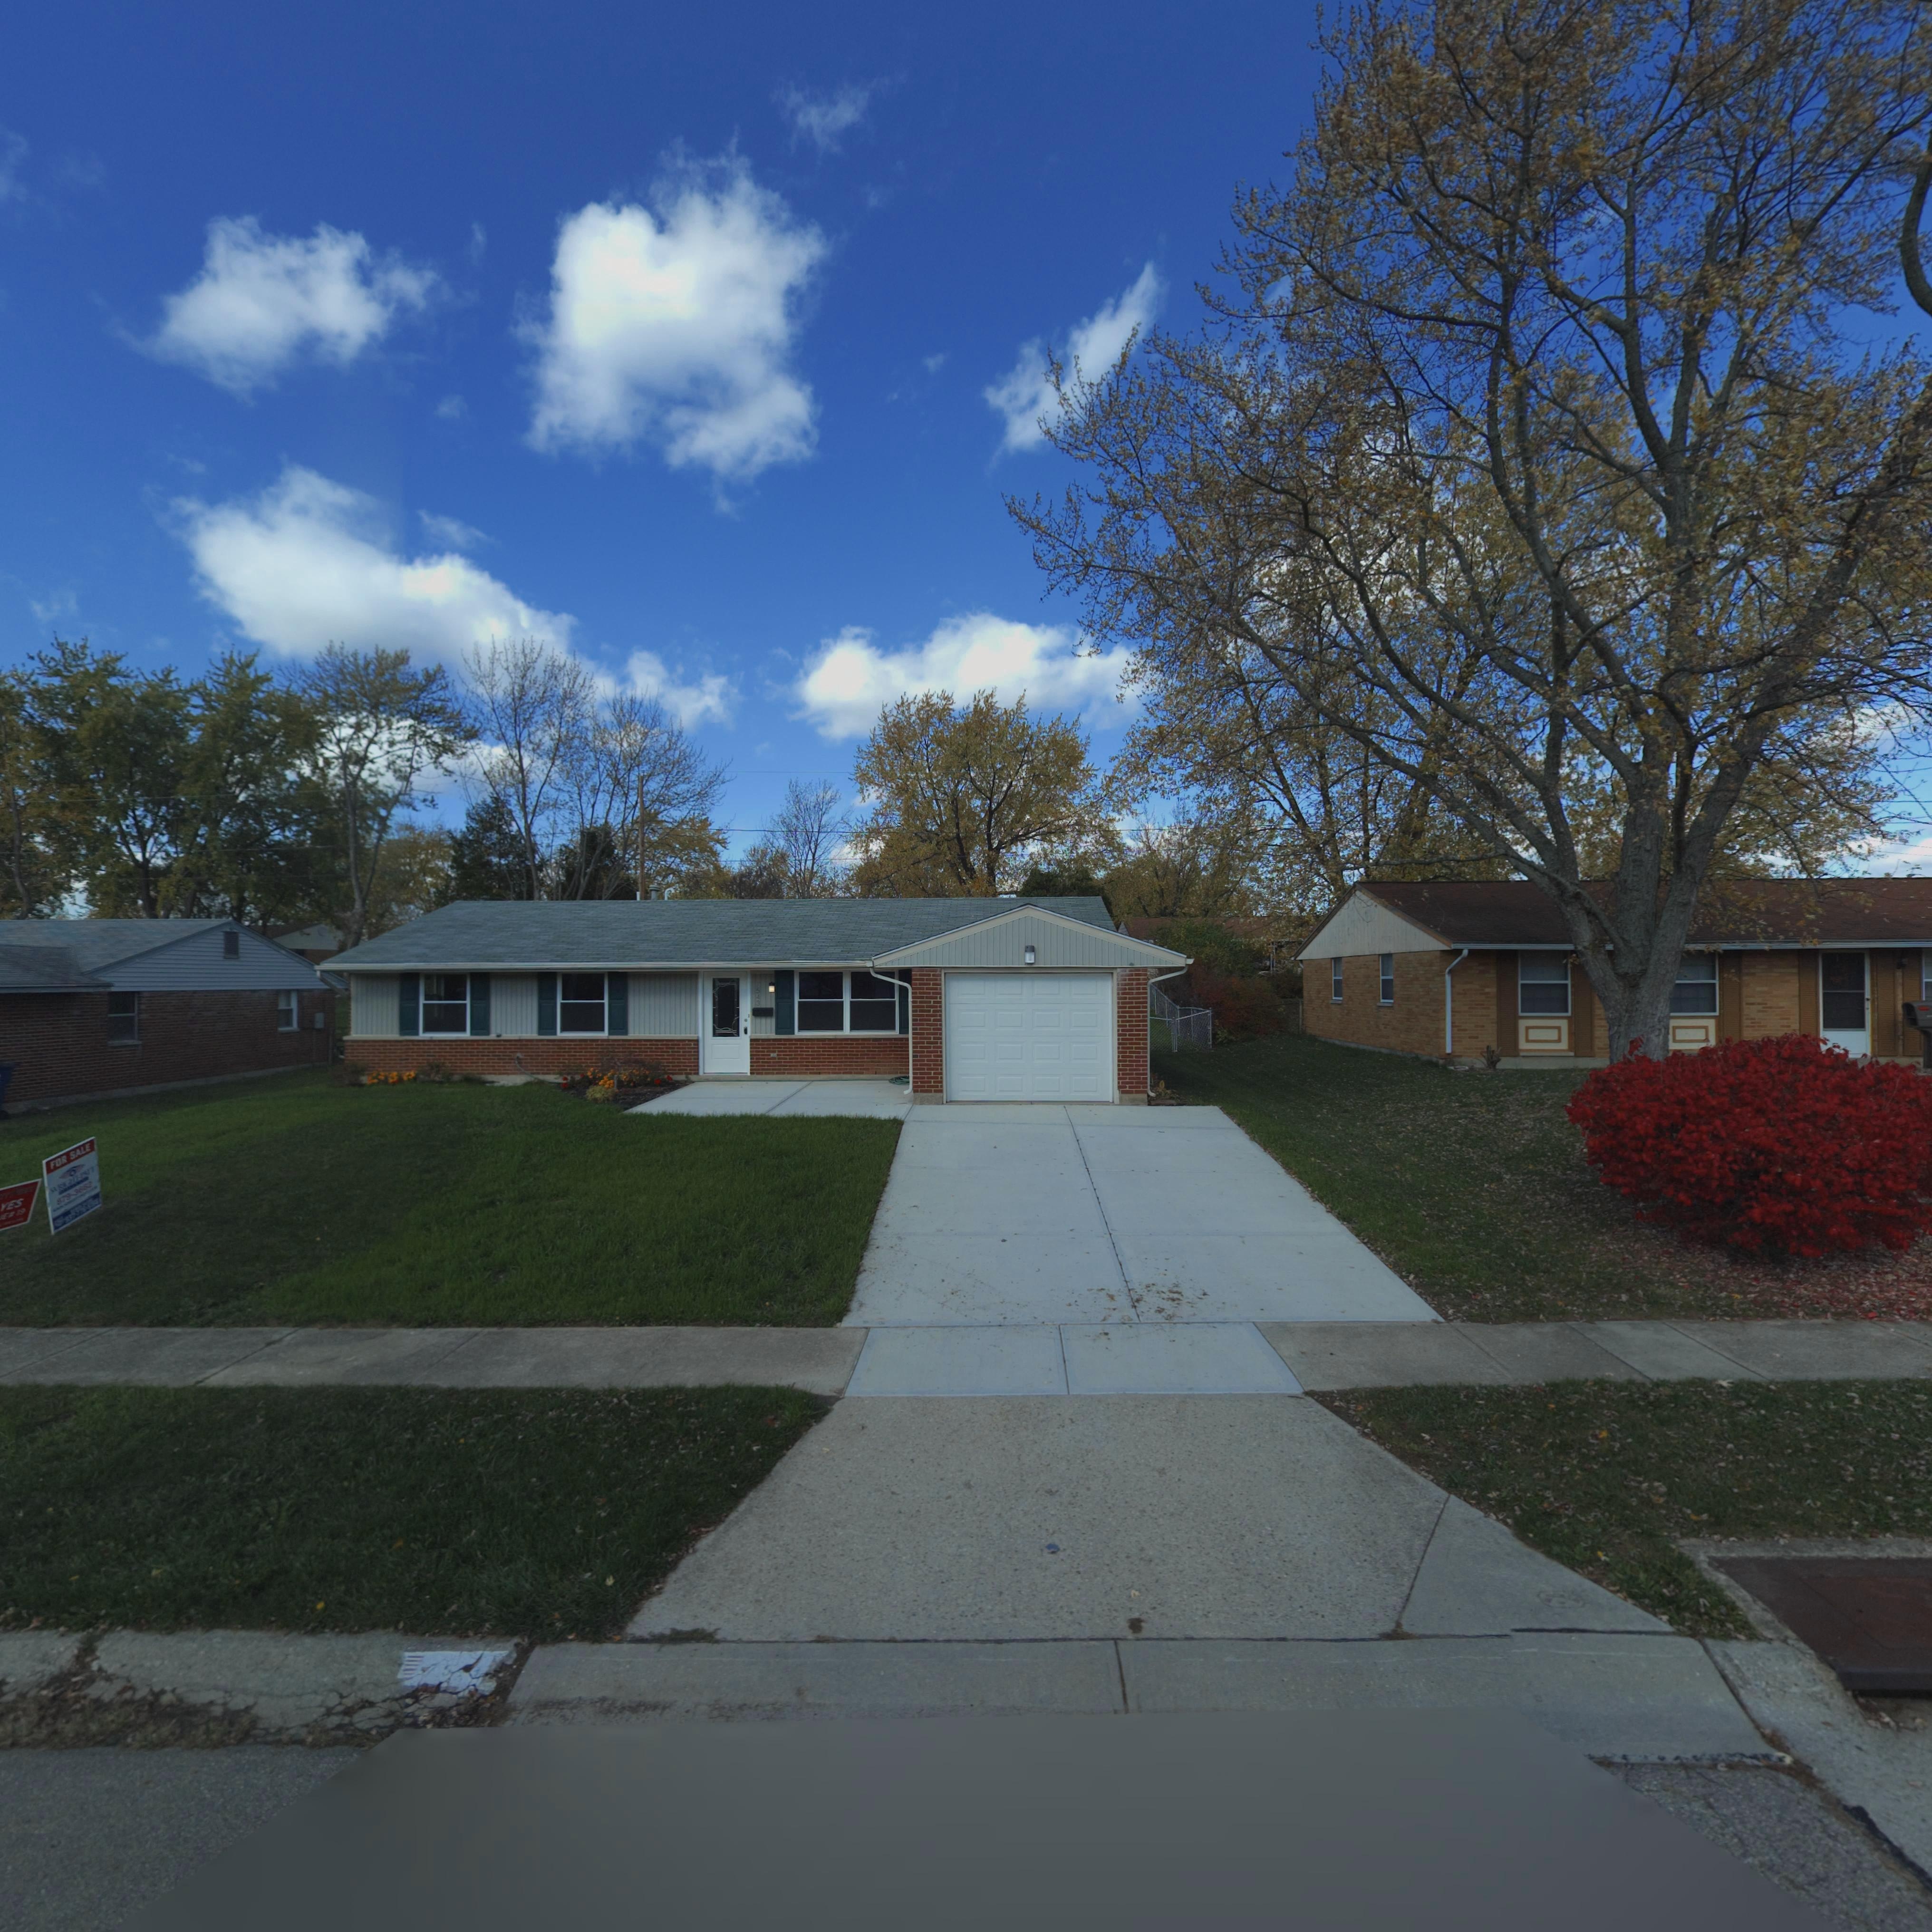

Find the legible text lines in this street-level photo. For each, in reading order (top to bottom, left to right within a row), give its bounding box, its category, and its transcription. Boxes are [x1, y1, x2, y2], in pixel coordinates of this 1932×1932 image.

[755, 980, 760, 1006] StreetNumber: 7543